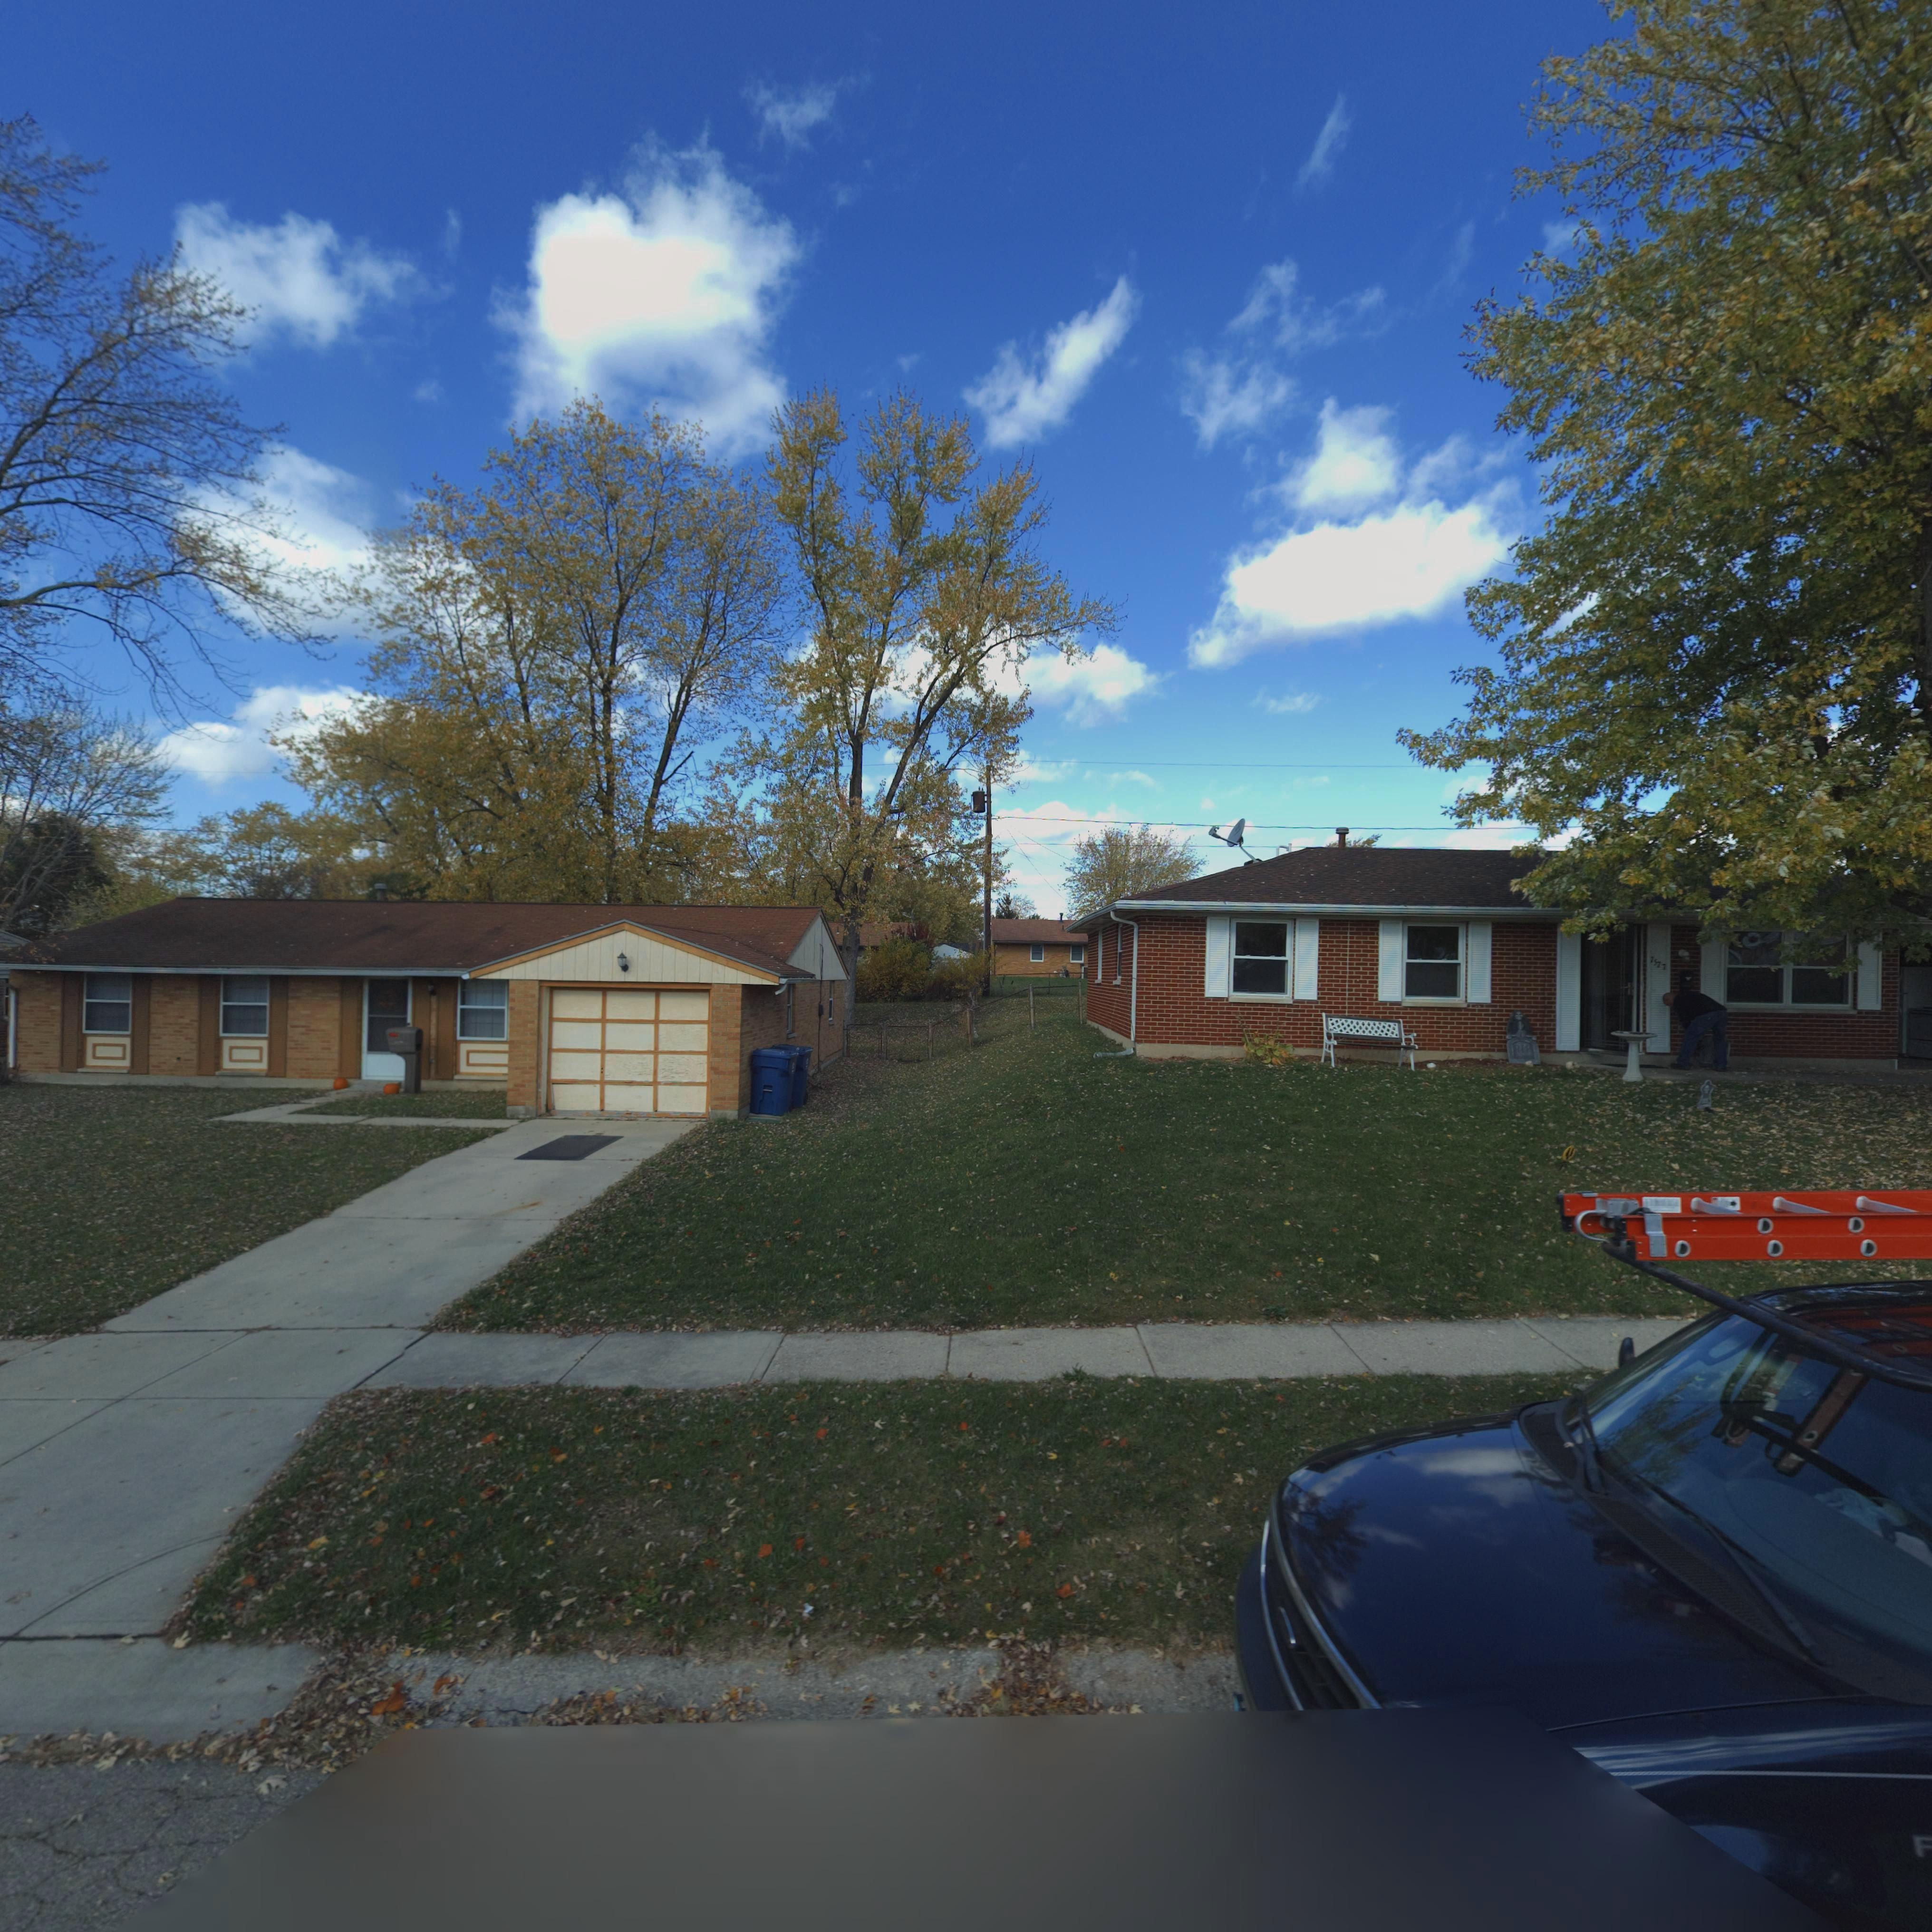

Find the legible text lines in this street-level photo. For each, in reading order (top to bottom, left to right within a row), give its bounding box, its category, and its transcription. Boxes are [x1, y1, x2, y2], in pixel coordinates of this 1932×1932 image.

[1649, 956, 1667, 971] StreetNumber: 7577